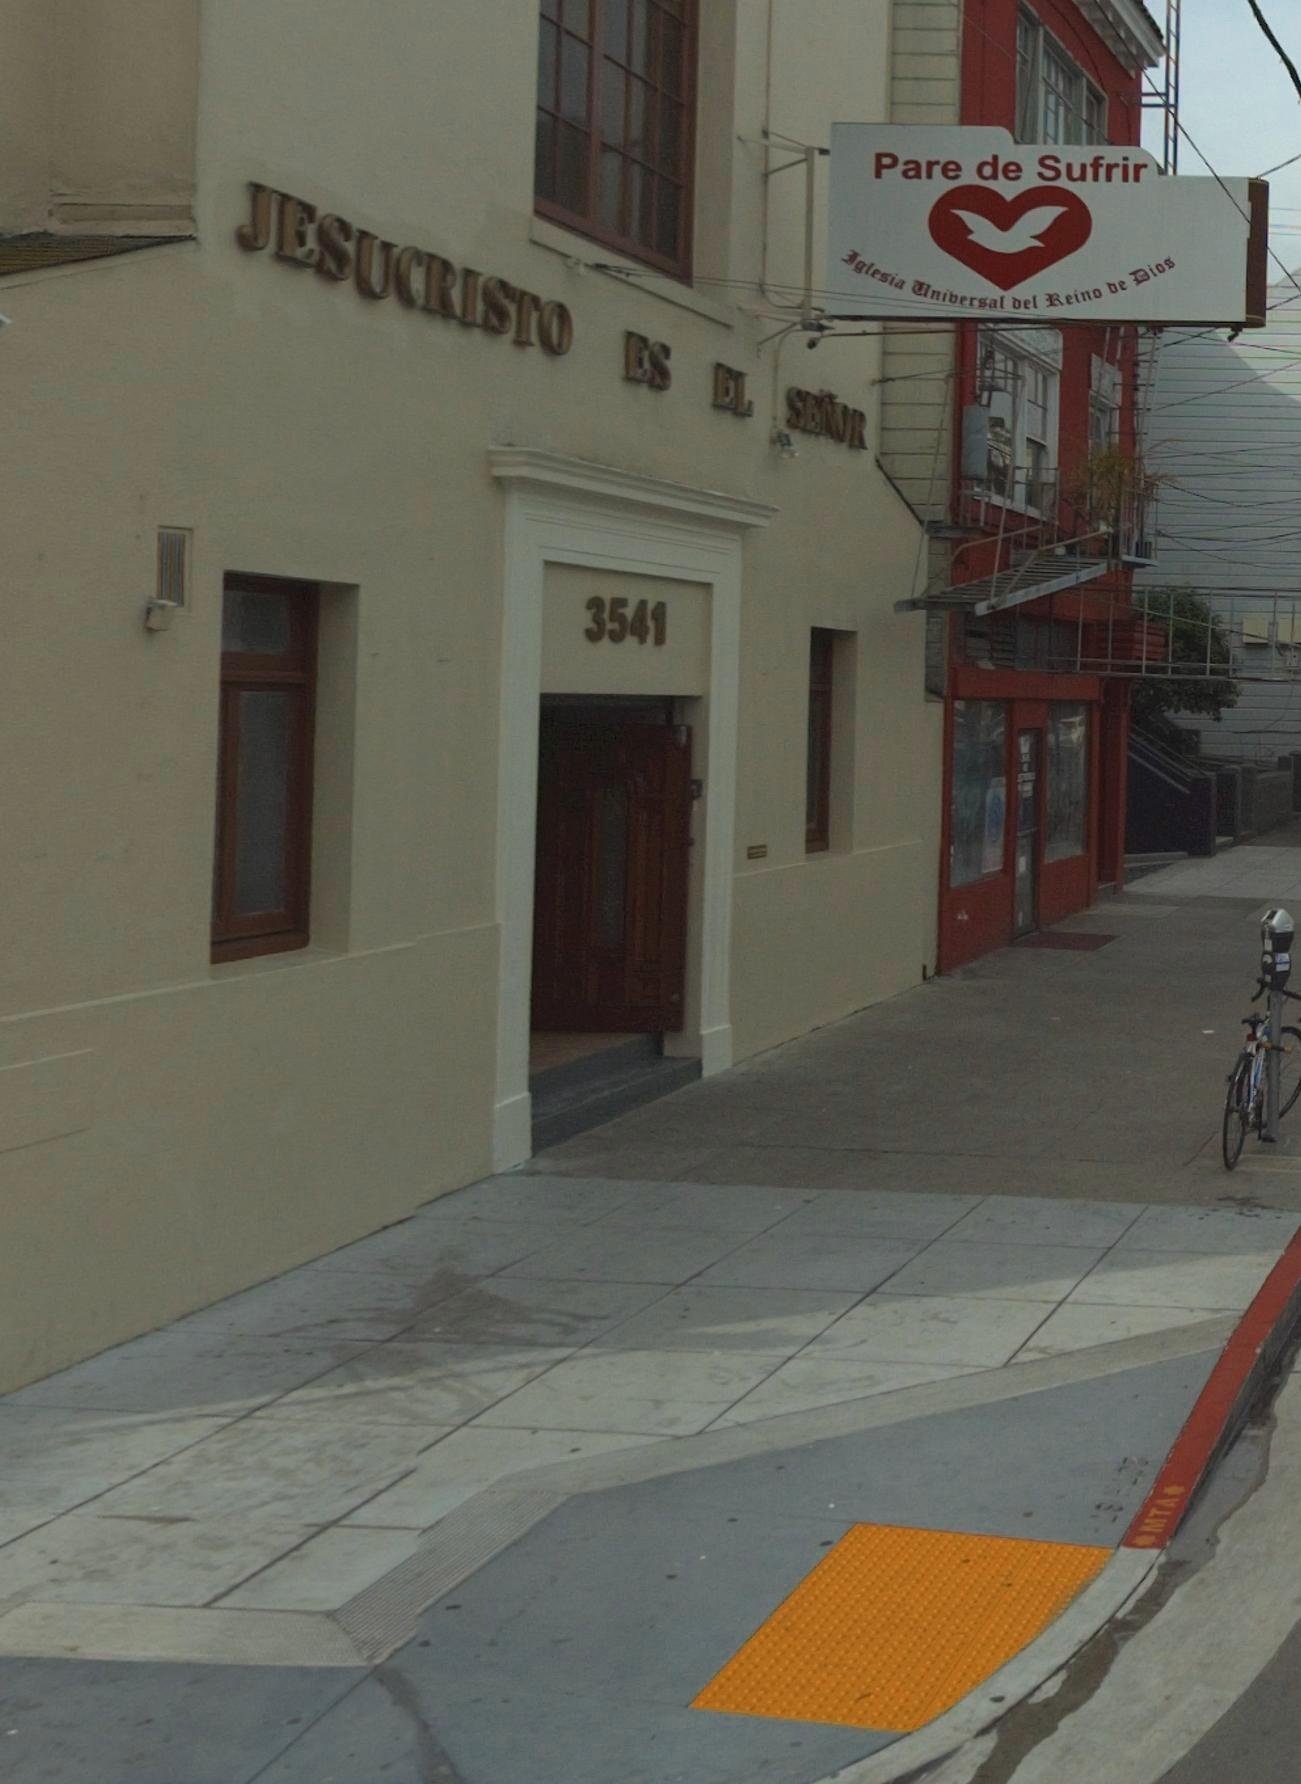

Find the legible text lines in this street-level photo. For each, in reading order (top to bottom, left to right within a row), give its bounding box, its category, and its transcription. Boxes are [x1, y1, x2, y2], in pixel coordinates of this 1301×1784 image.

[872, 149, 1152, 184] None: Pare di Sufrir
[852, 254, 1179, 311] None: glesia *nibersal *el Reino *e *ios
[231, 177, 869, 453] BusinessName: JESUCRISTO ES EL SENOR
[582, 593, 669, 650] StreetNumber: 3541
[1136, 1497, 1182, 1534] None: MTA